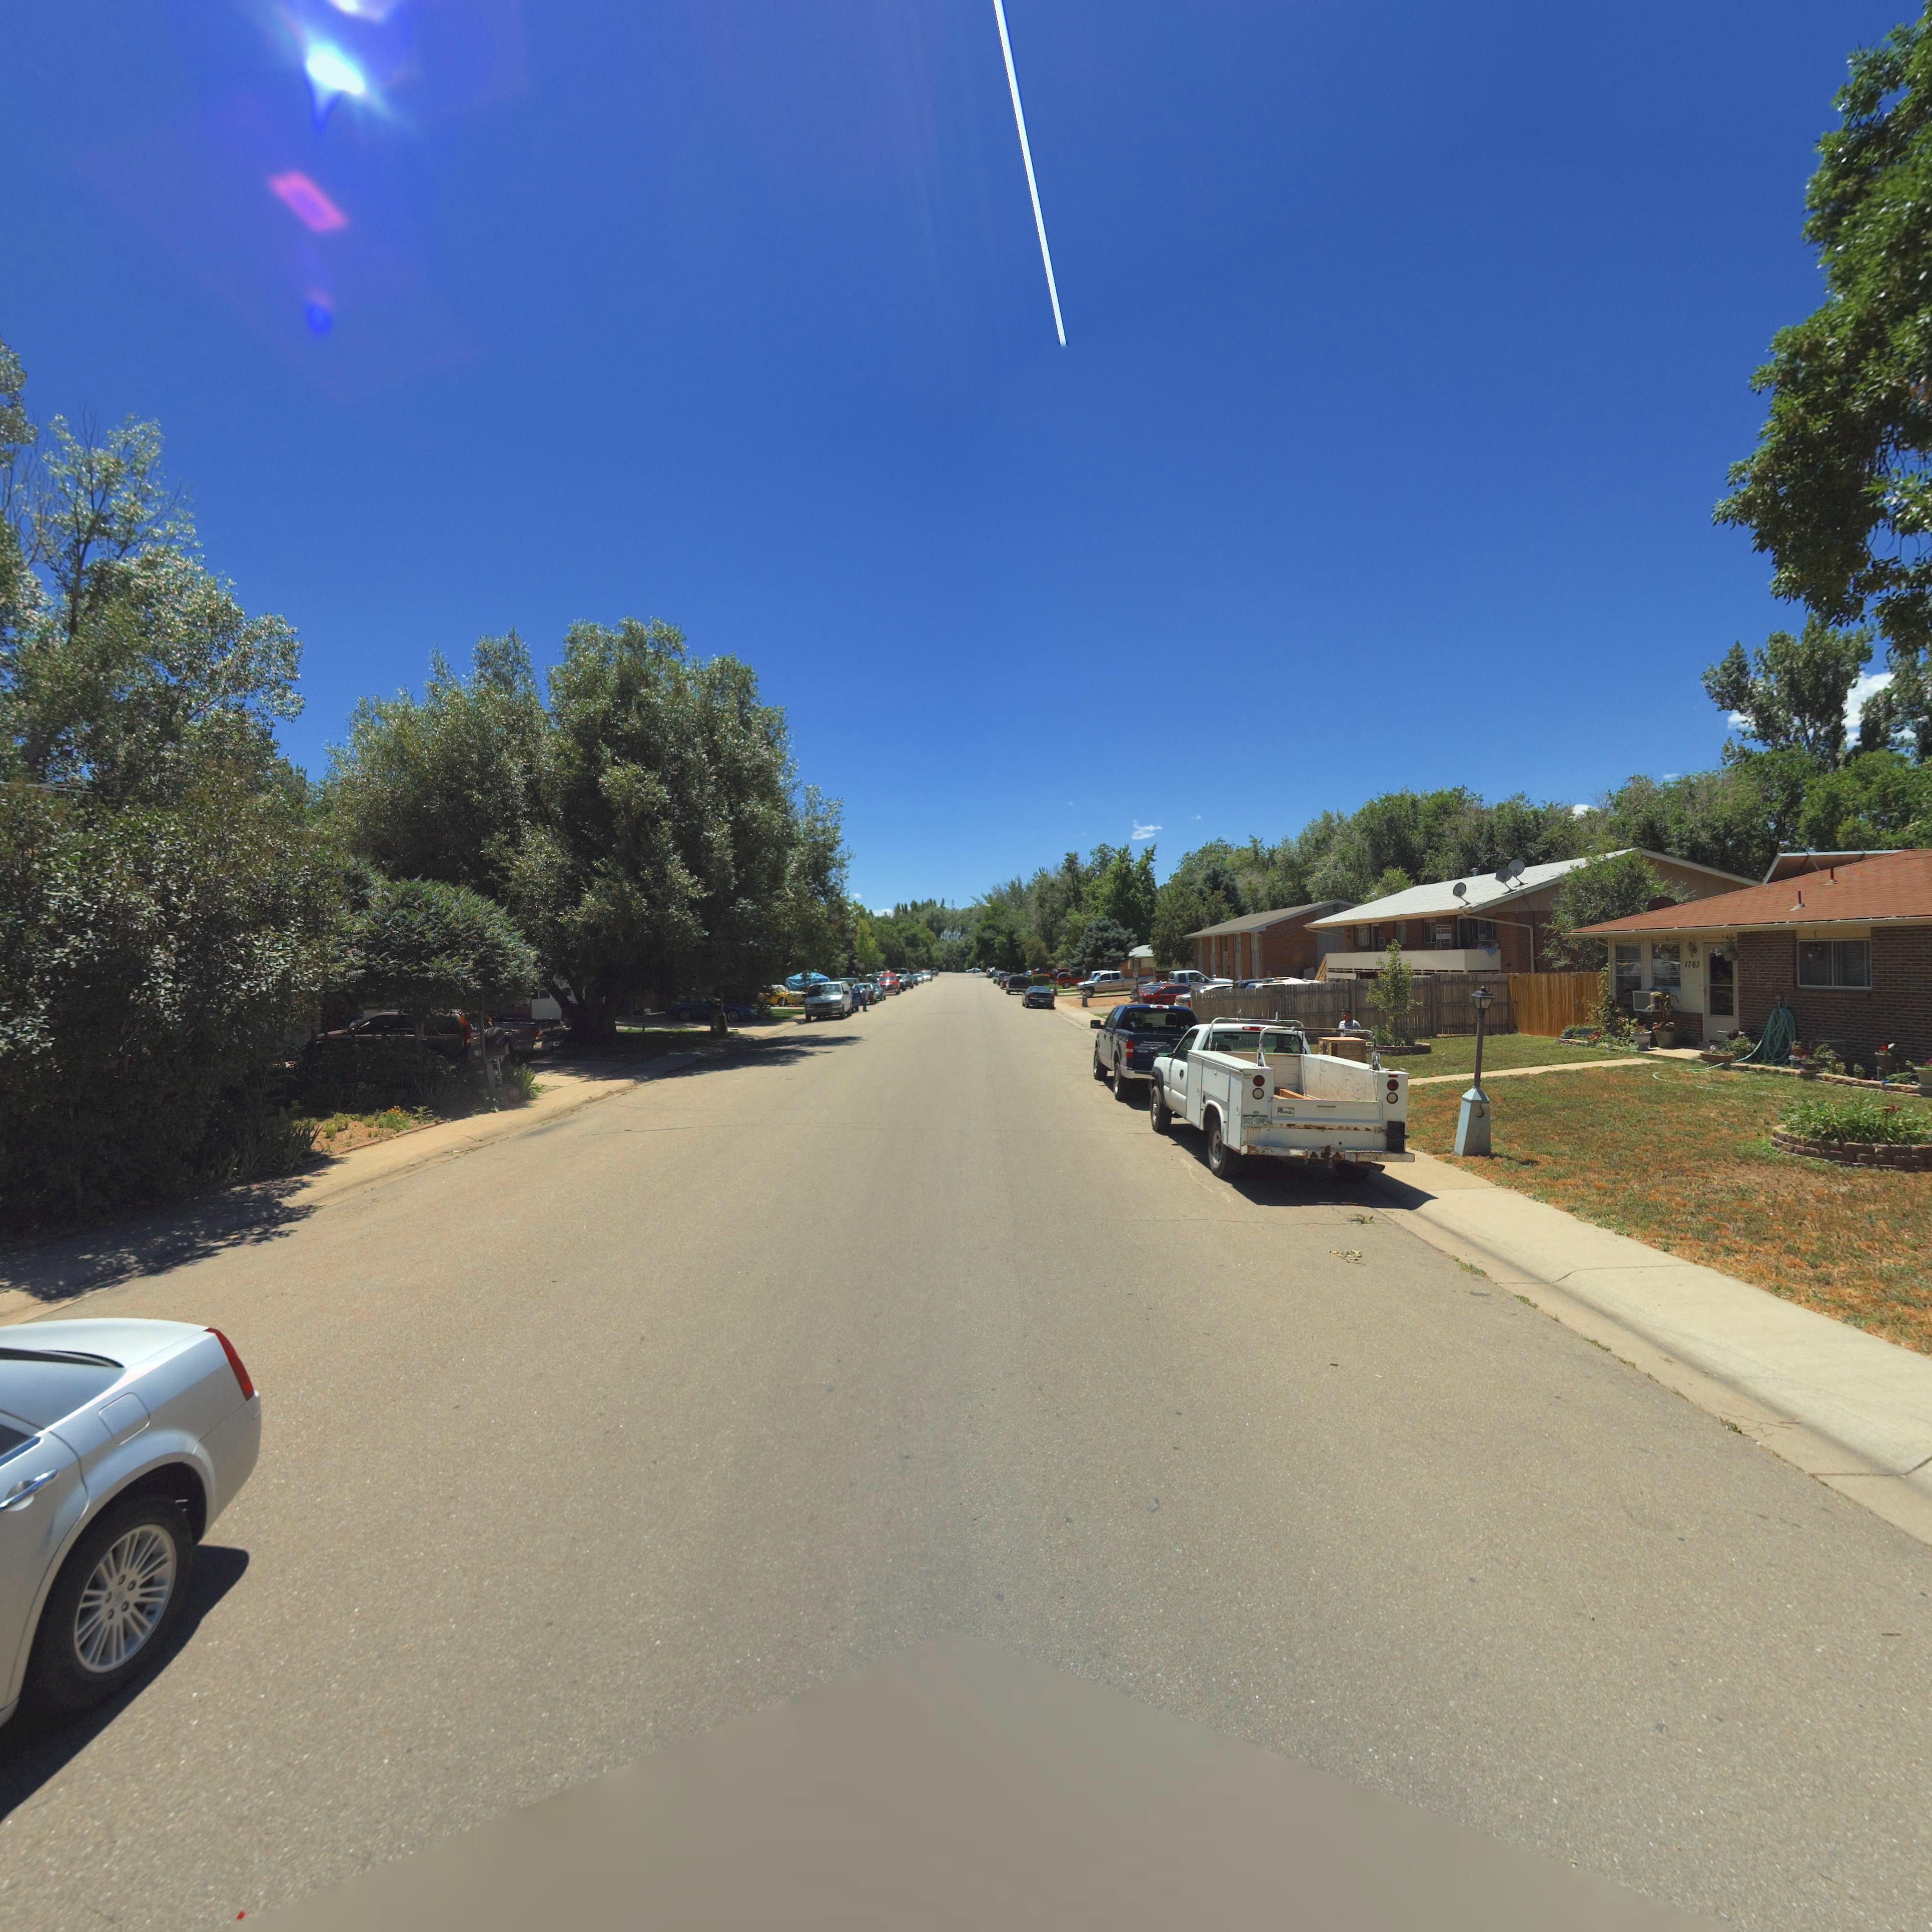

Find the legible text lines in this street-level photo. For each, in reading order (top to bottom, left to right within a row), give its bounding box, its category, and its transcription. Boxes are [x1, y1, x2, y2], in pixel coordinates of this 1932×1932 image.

[1684, 960, 1700, 968] StreetNumber: 1763